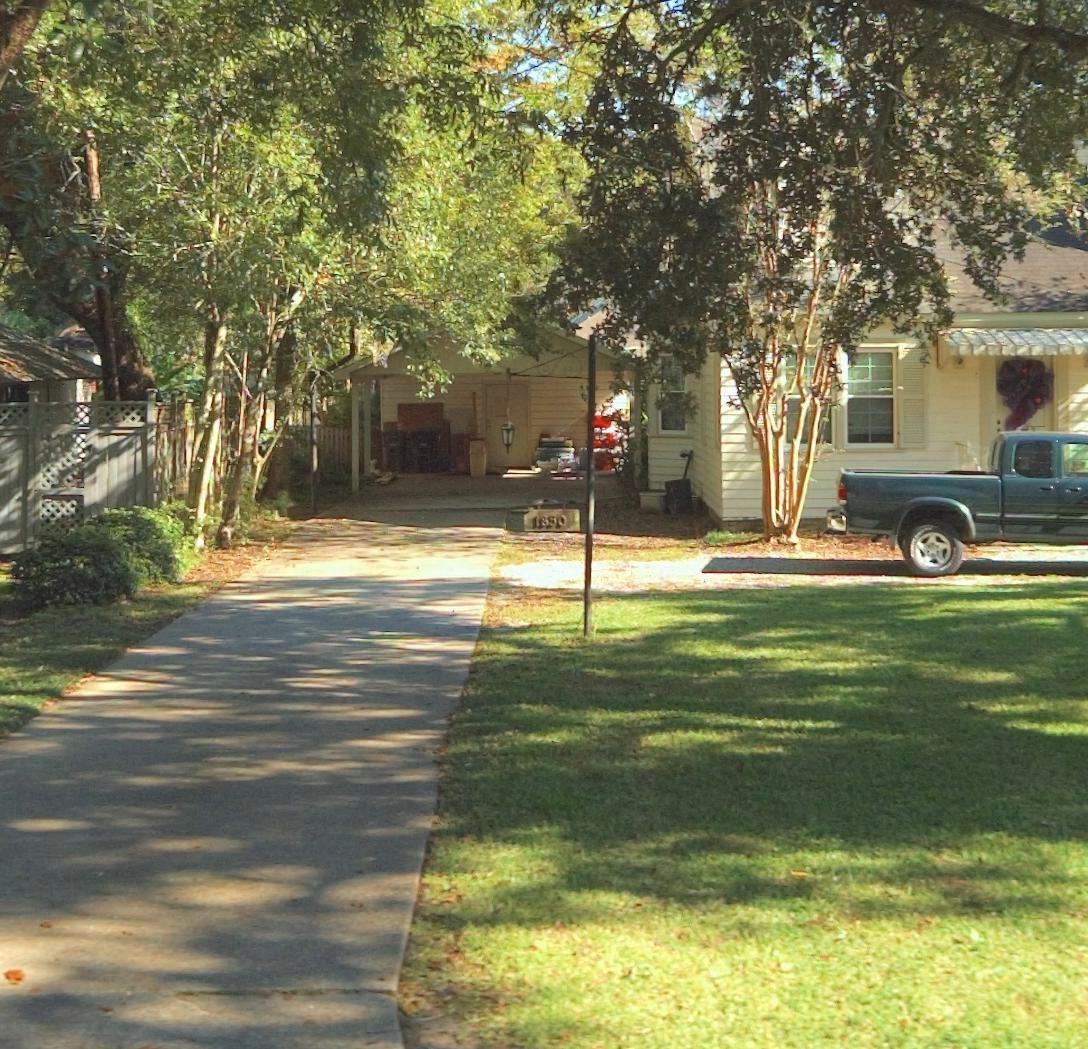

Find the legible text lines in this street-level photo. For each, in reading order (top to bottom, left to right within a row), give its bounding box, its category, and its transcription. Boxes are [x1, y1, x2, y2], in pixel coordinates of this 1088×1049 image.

[531, 514, 569, 529] StreetNumber: 1850